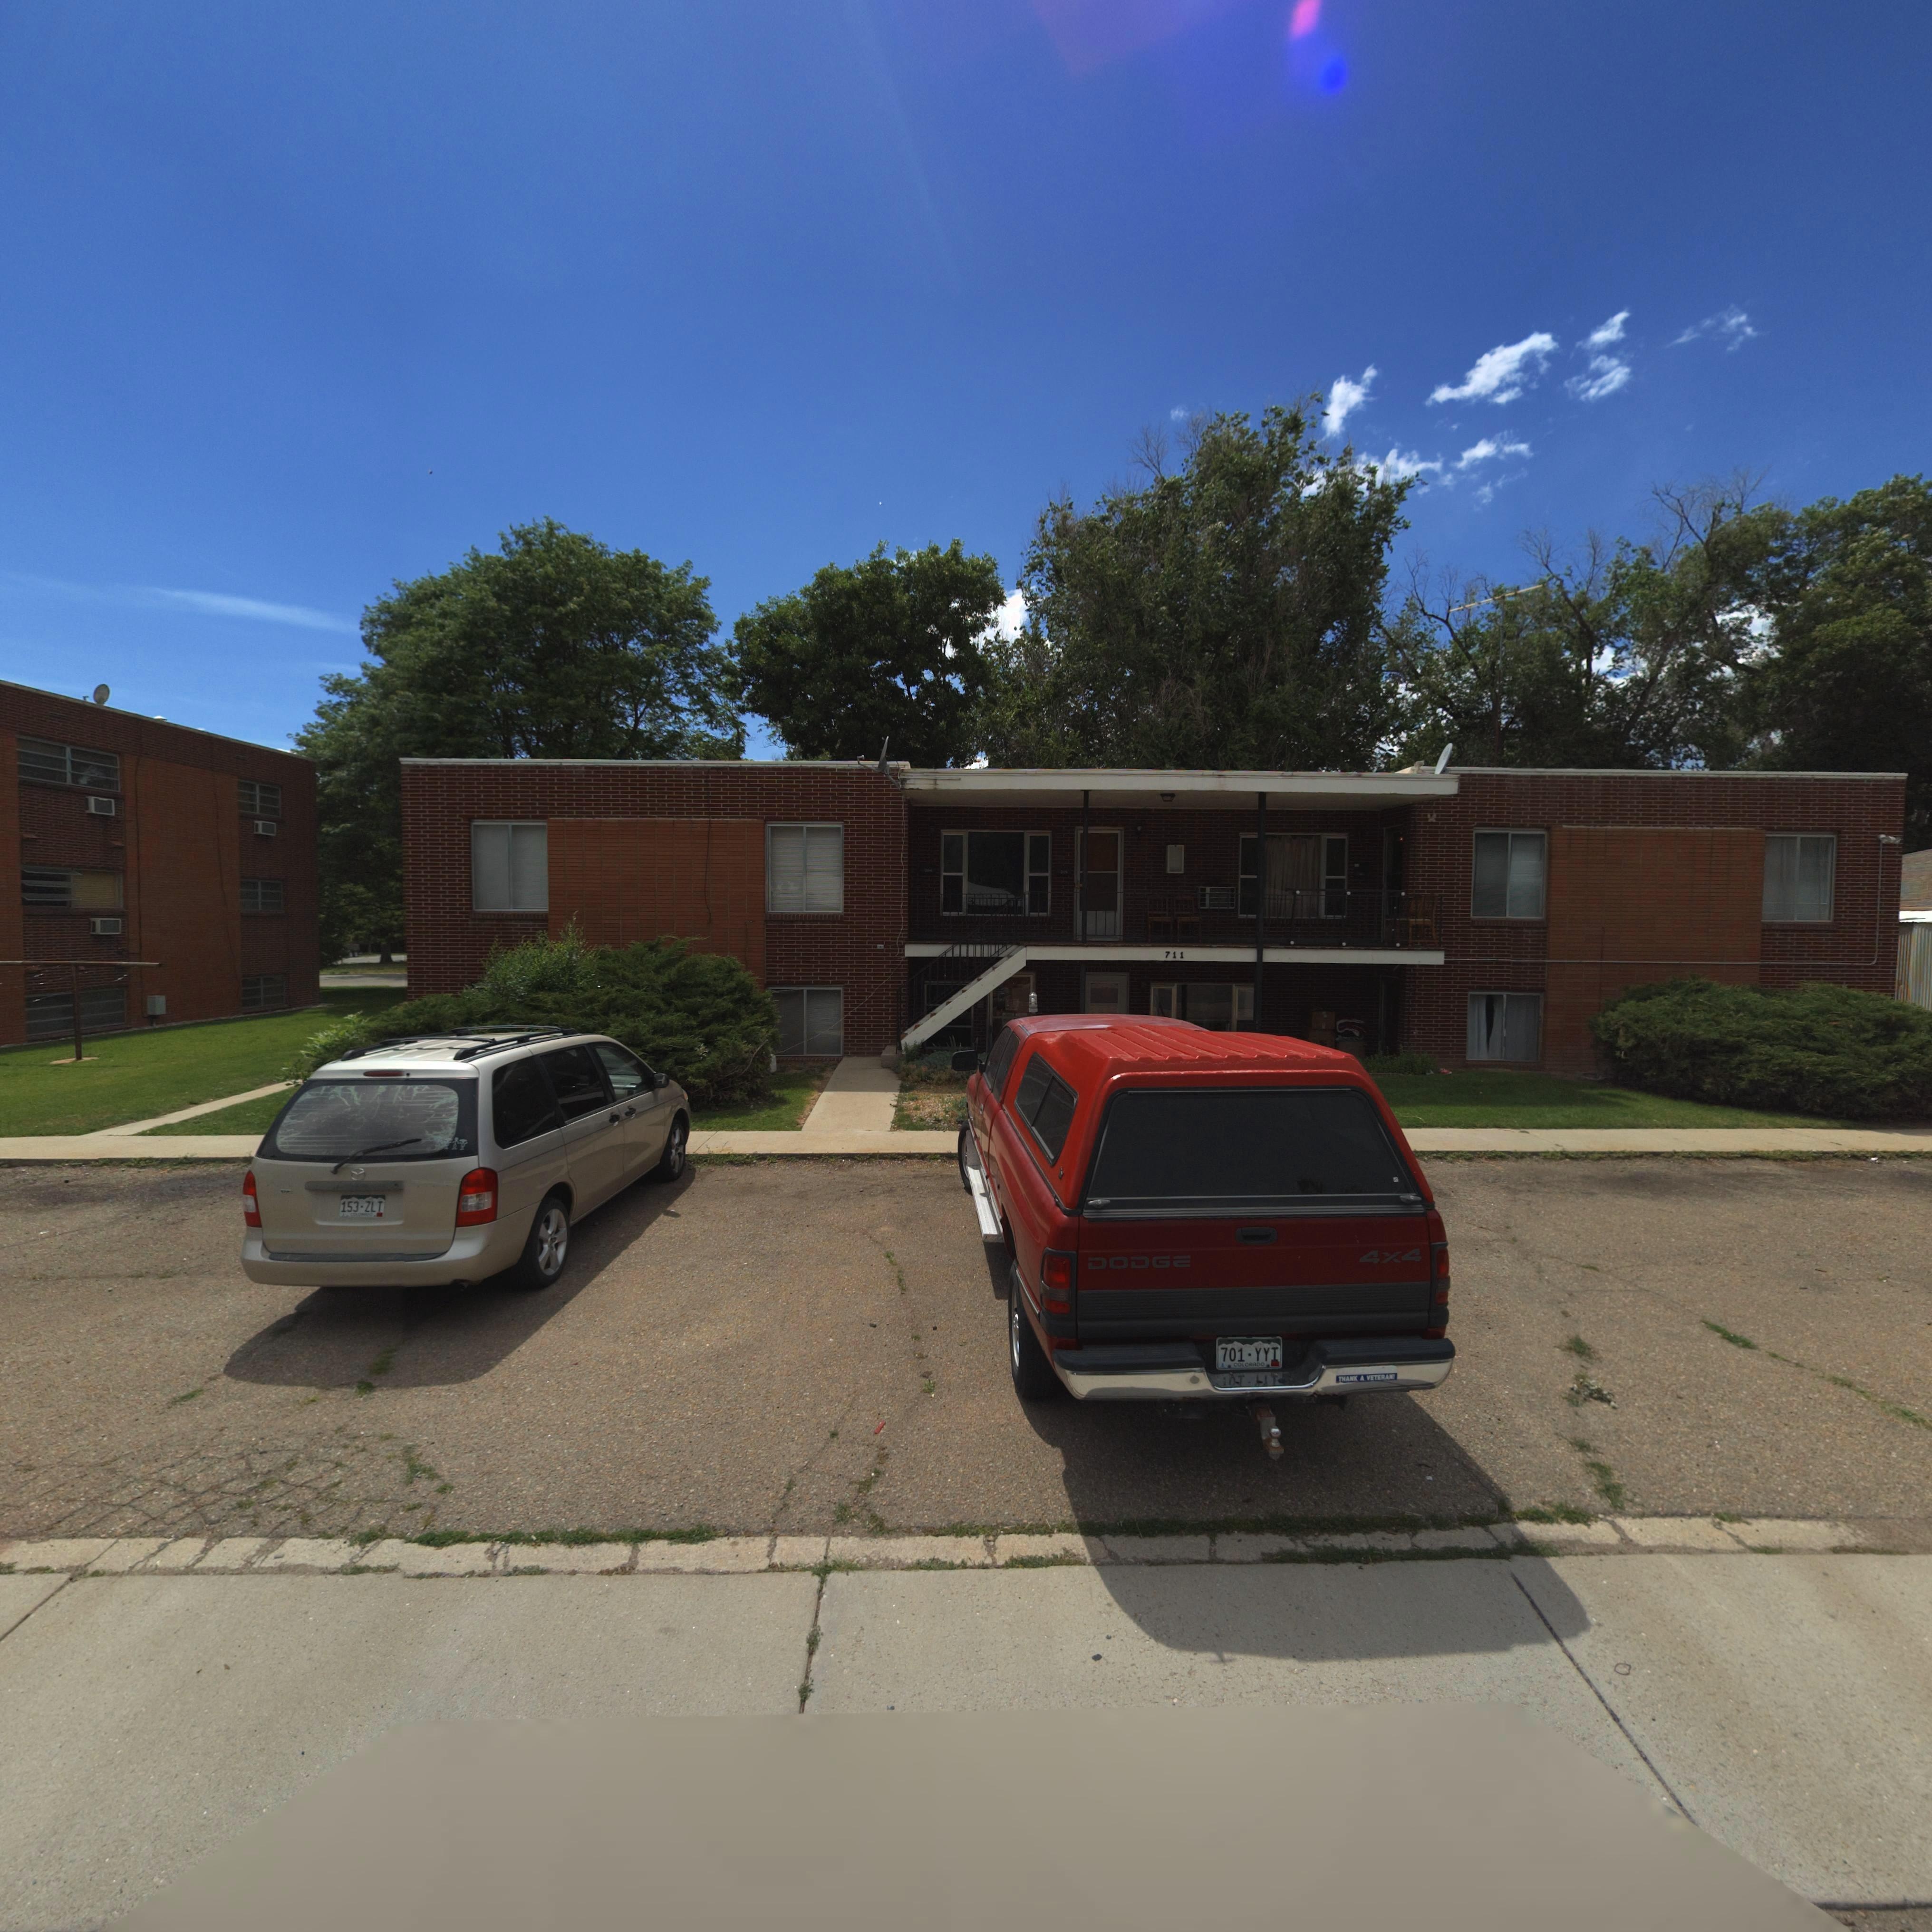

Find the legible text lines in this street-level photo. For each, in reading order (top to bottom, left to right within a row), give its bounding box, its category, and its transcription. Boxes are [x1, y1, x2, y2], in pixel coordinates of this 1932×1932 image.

[1060, 869, 1068, 874] SecondaryUnitDesignator: 20*
[1164, 950, 1184, 958] StreetNumber: 711